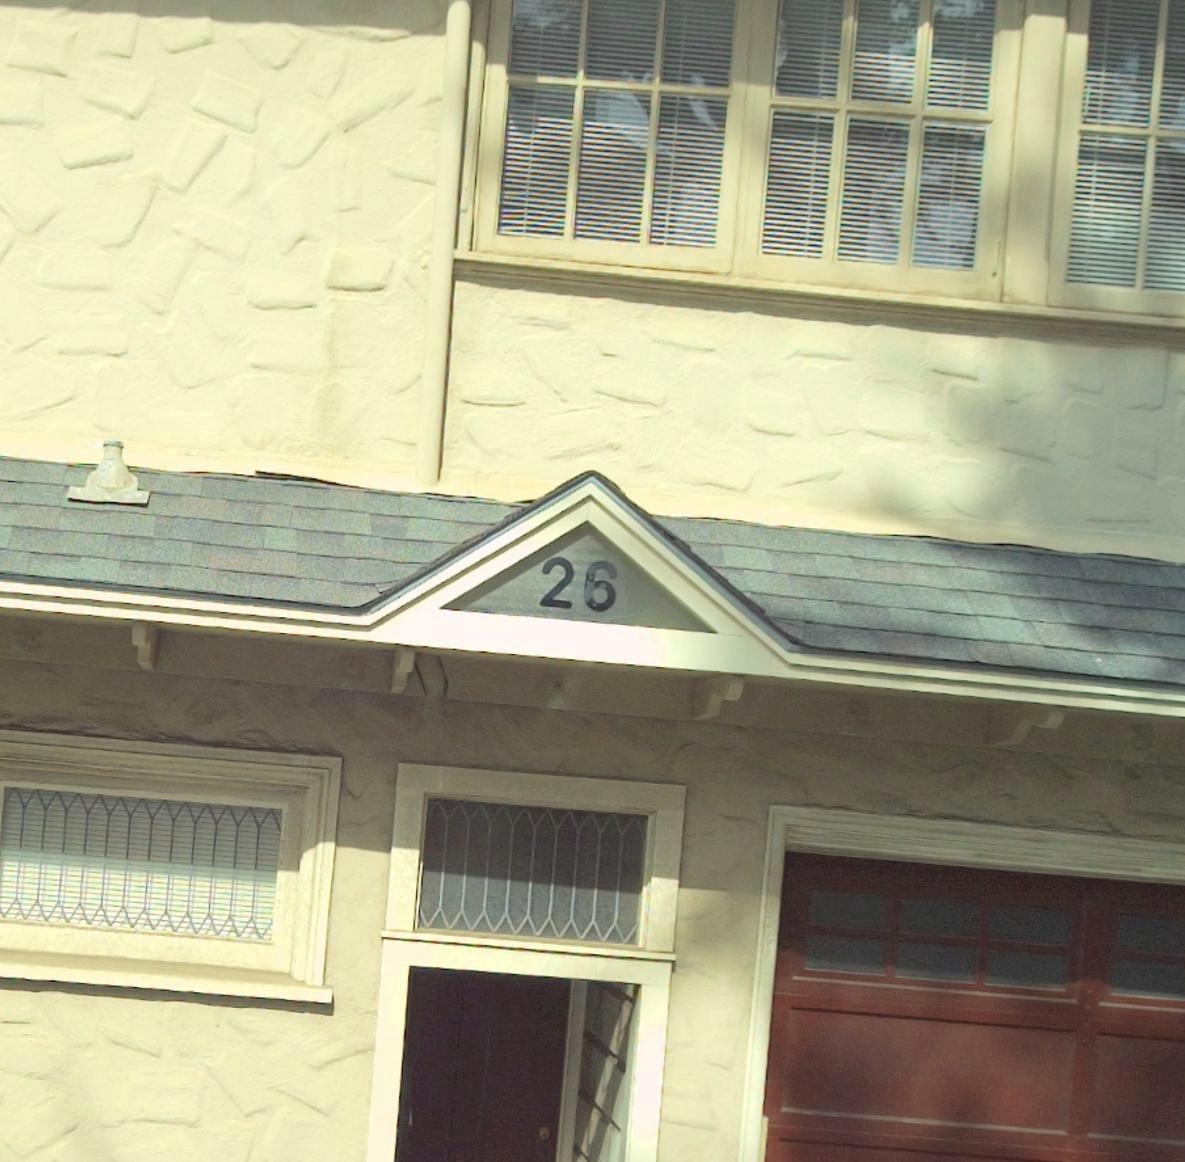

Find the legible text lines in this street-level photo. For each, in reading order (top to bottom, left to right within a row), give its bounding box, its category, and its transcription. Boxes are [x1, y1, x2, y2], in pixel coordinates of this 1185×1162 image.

[535, 551, 623, 617] StreetNumber: 26